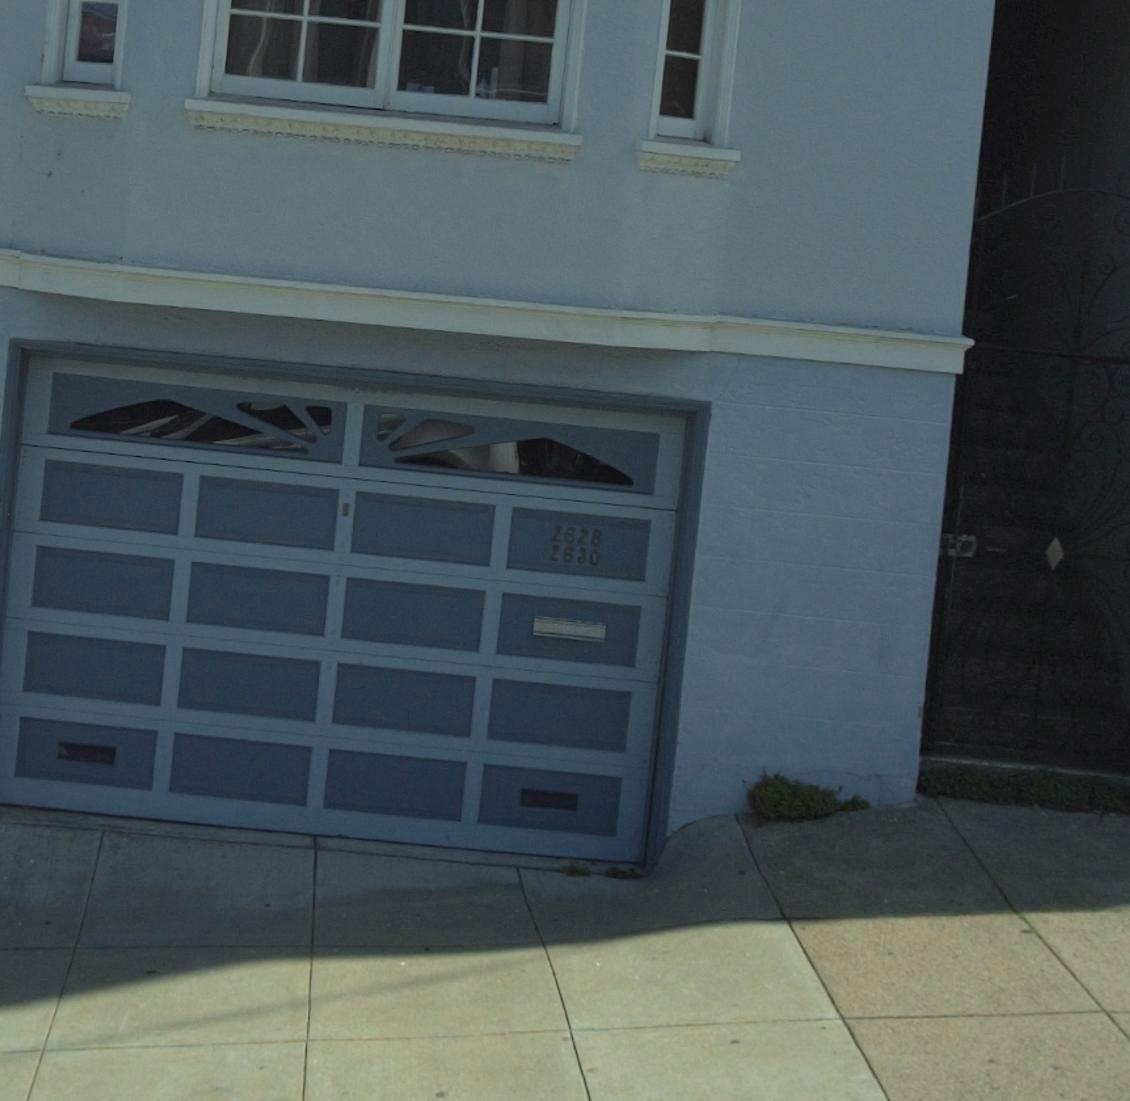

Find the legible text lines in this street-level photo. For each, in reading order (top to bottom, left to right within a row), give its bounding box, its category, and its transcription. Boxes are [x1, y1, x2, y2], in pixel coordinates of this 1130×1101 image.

[549, 524, 603, 548] StreetNumber: 2628
[547, 543, 601, 567] StreetNumber: 2630